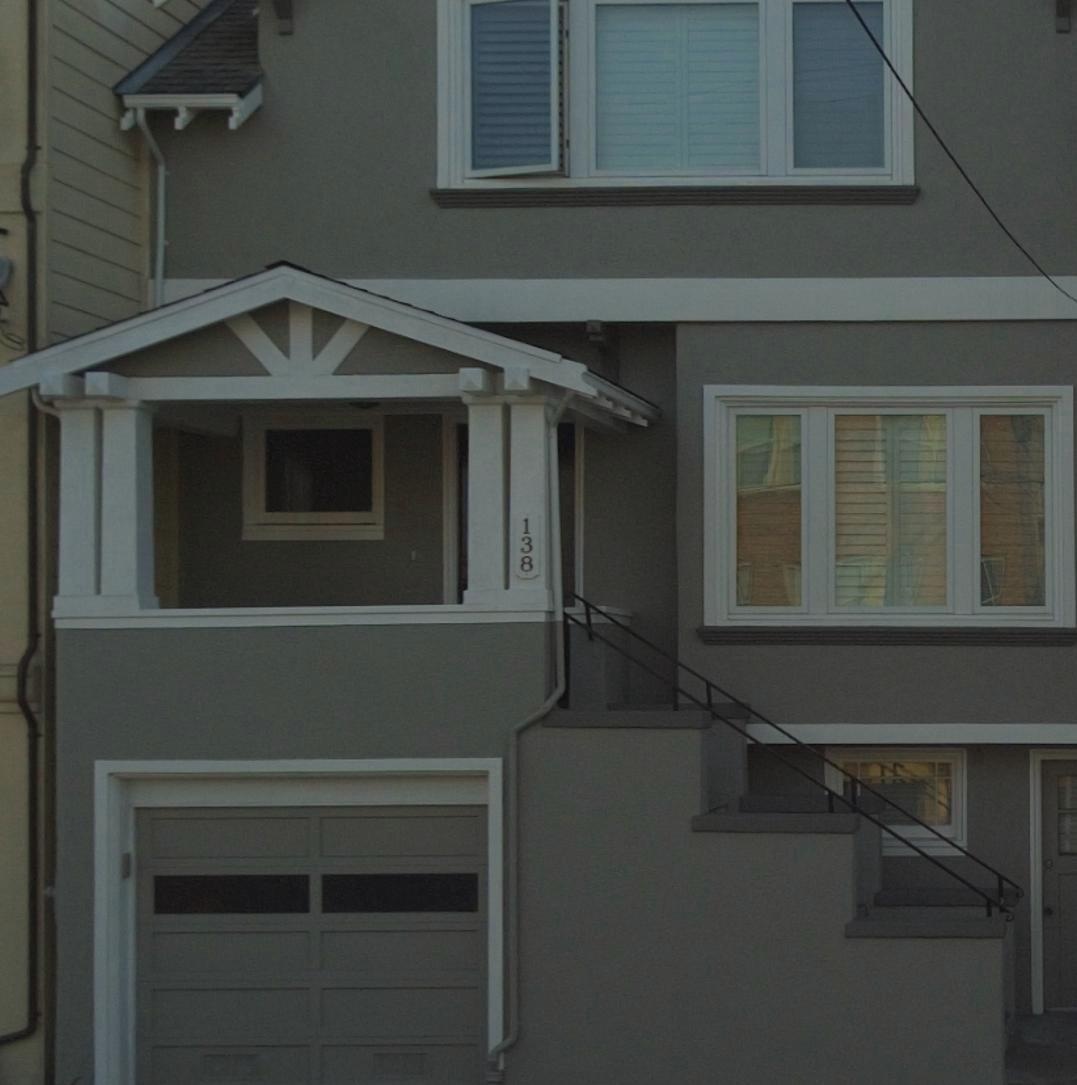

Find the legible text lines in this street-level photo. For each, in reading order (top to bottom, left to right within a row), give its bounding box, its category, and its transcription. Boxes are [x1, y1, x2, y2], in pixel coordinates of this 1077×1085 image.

[518, 515, 535, 574] StreetNumber: 138